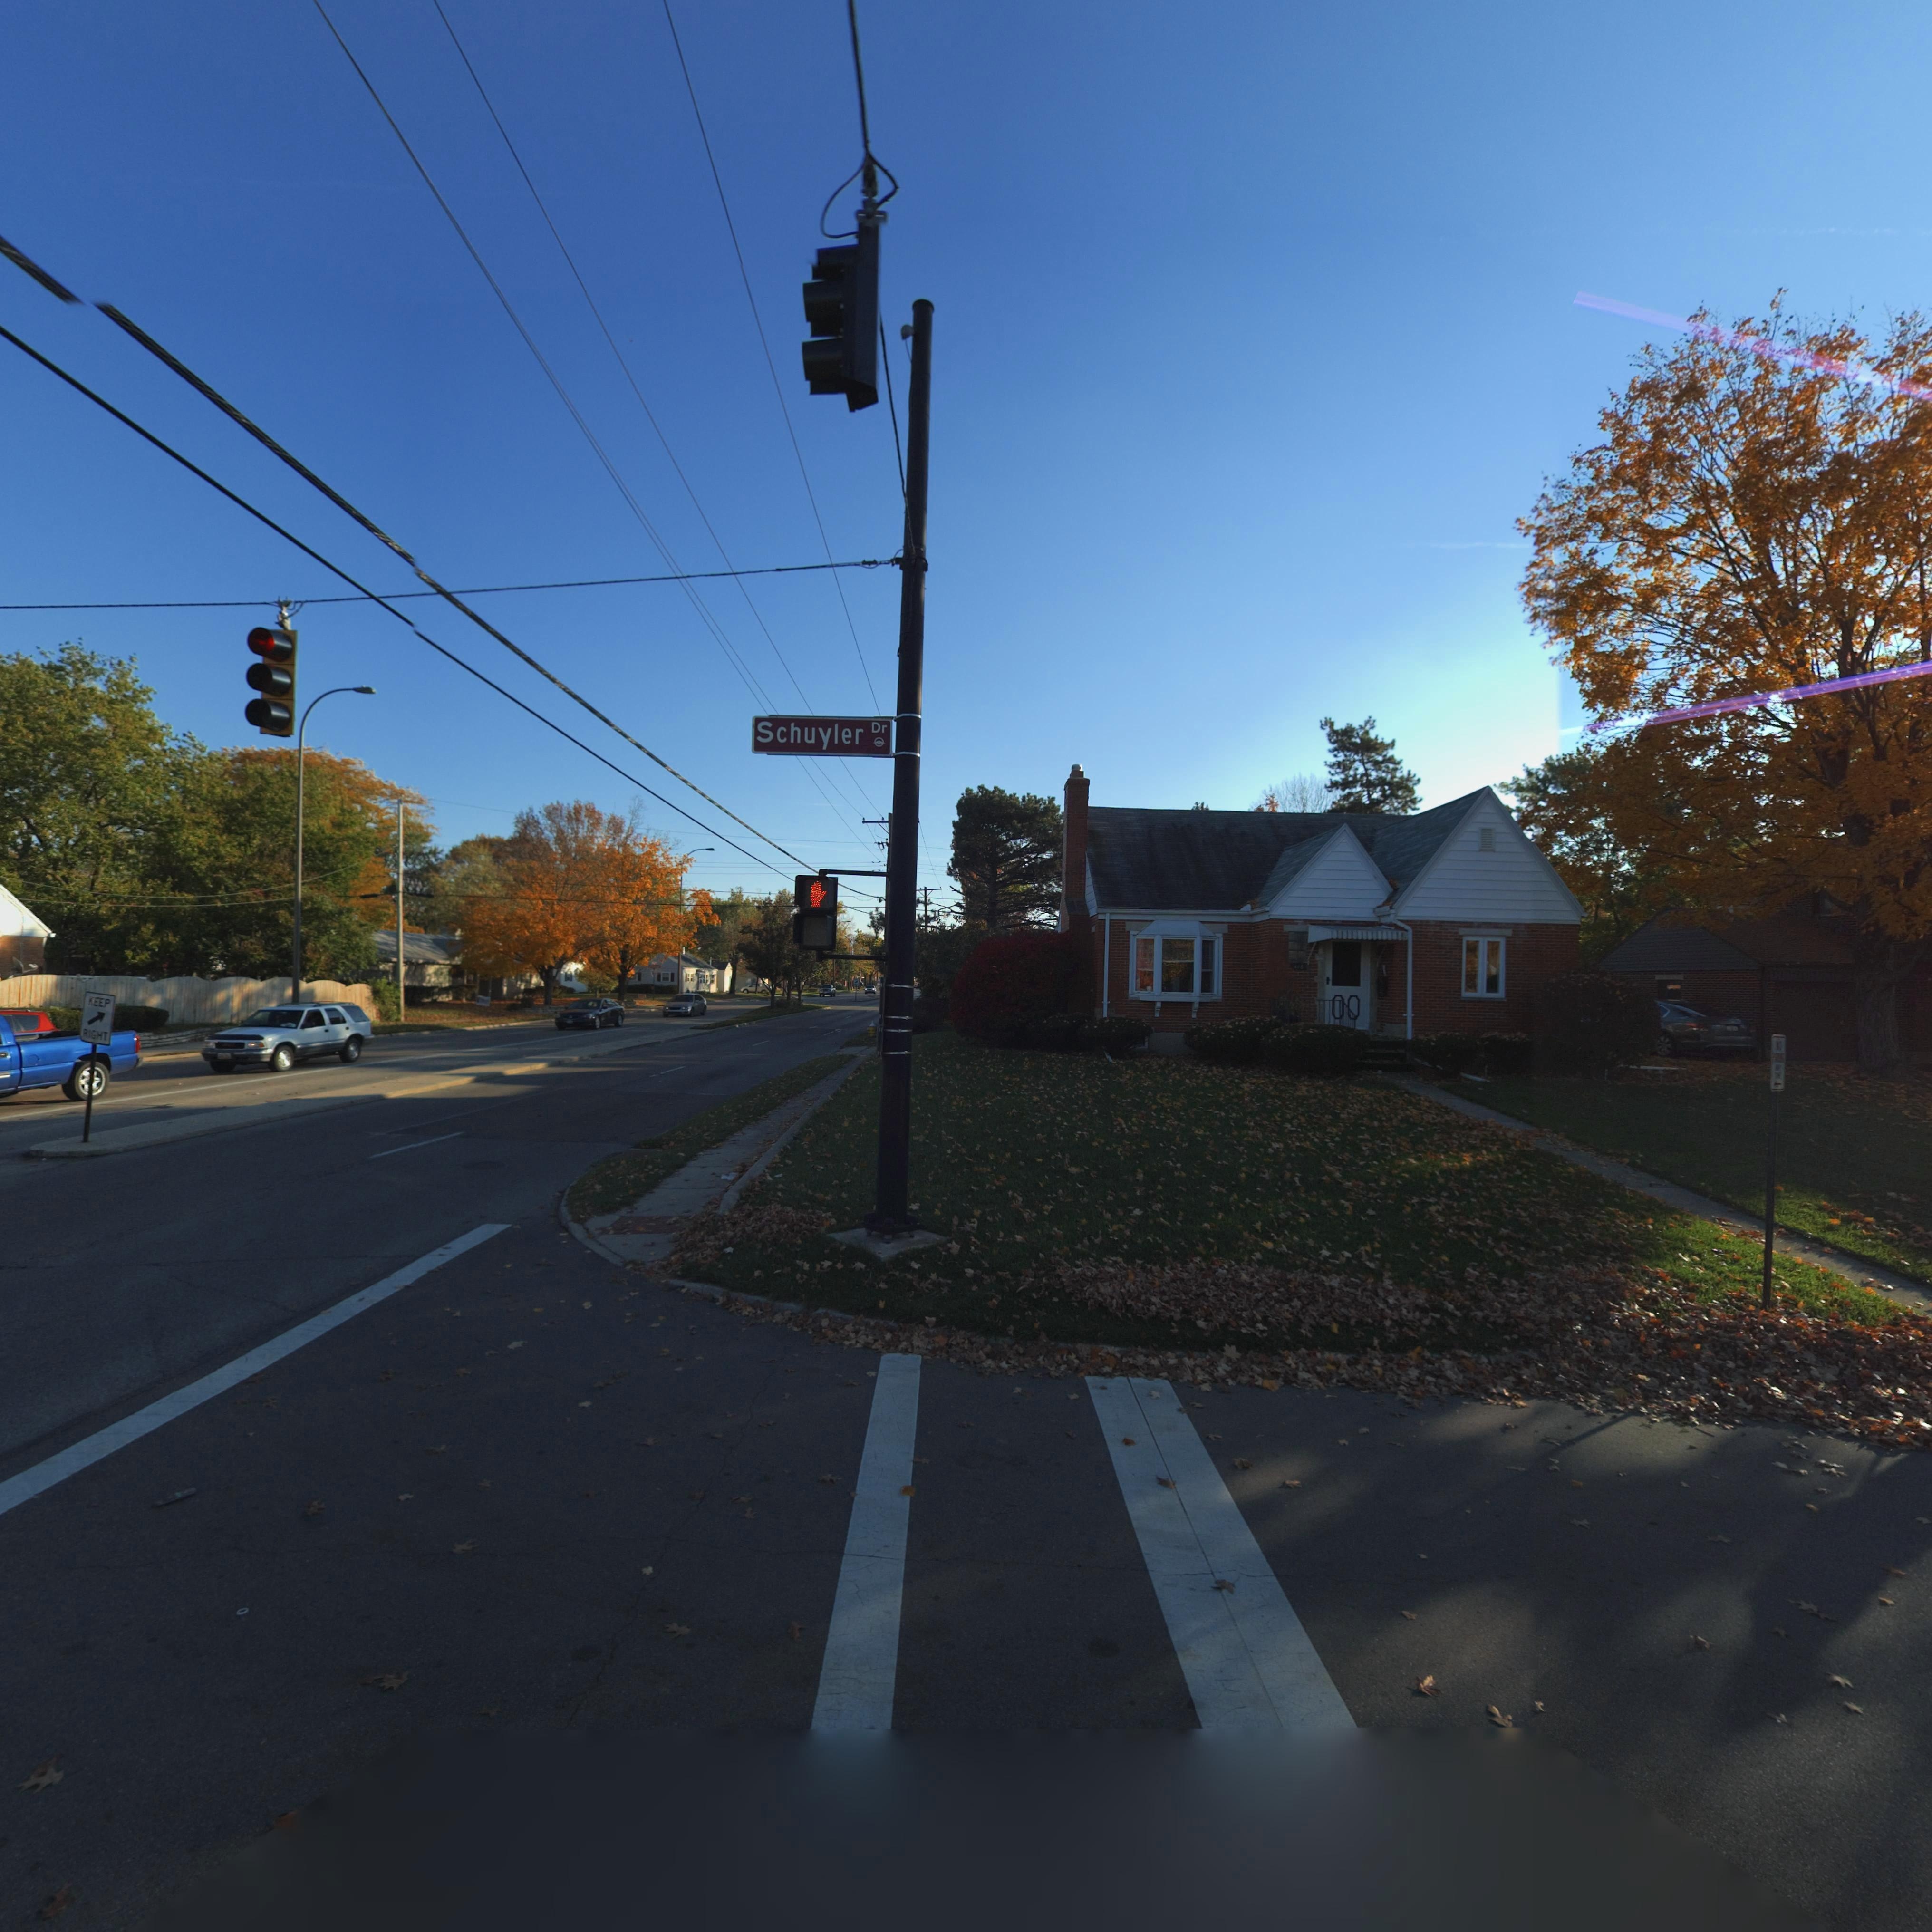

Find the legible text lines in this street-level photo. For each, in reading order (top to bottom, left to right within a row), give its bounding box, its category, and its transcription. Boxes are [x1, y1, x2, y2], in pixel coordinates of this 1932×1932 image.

[754, 720, 889, 752] StreetName: Schuyler Dr
[1294, 964, 1304, 970] StreetNumber: *1*